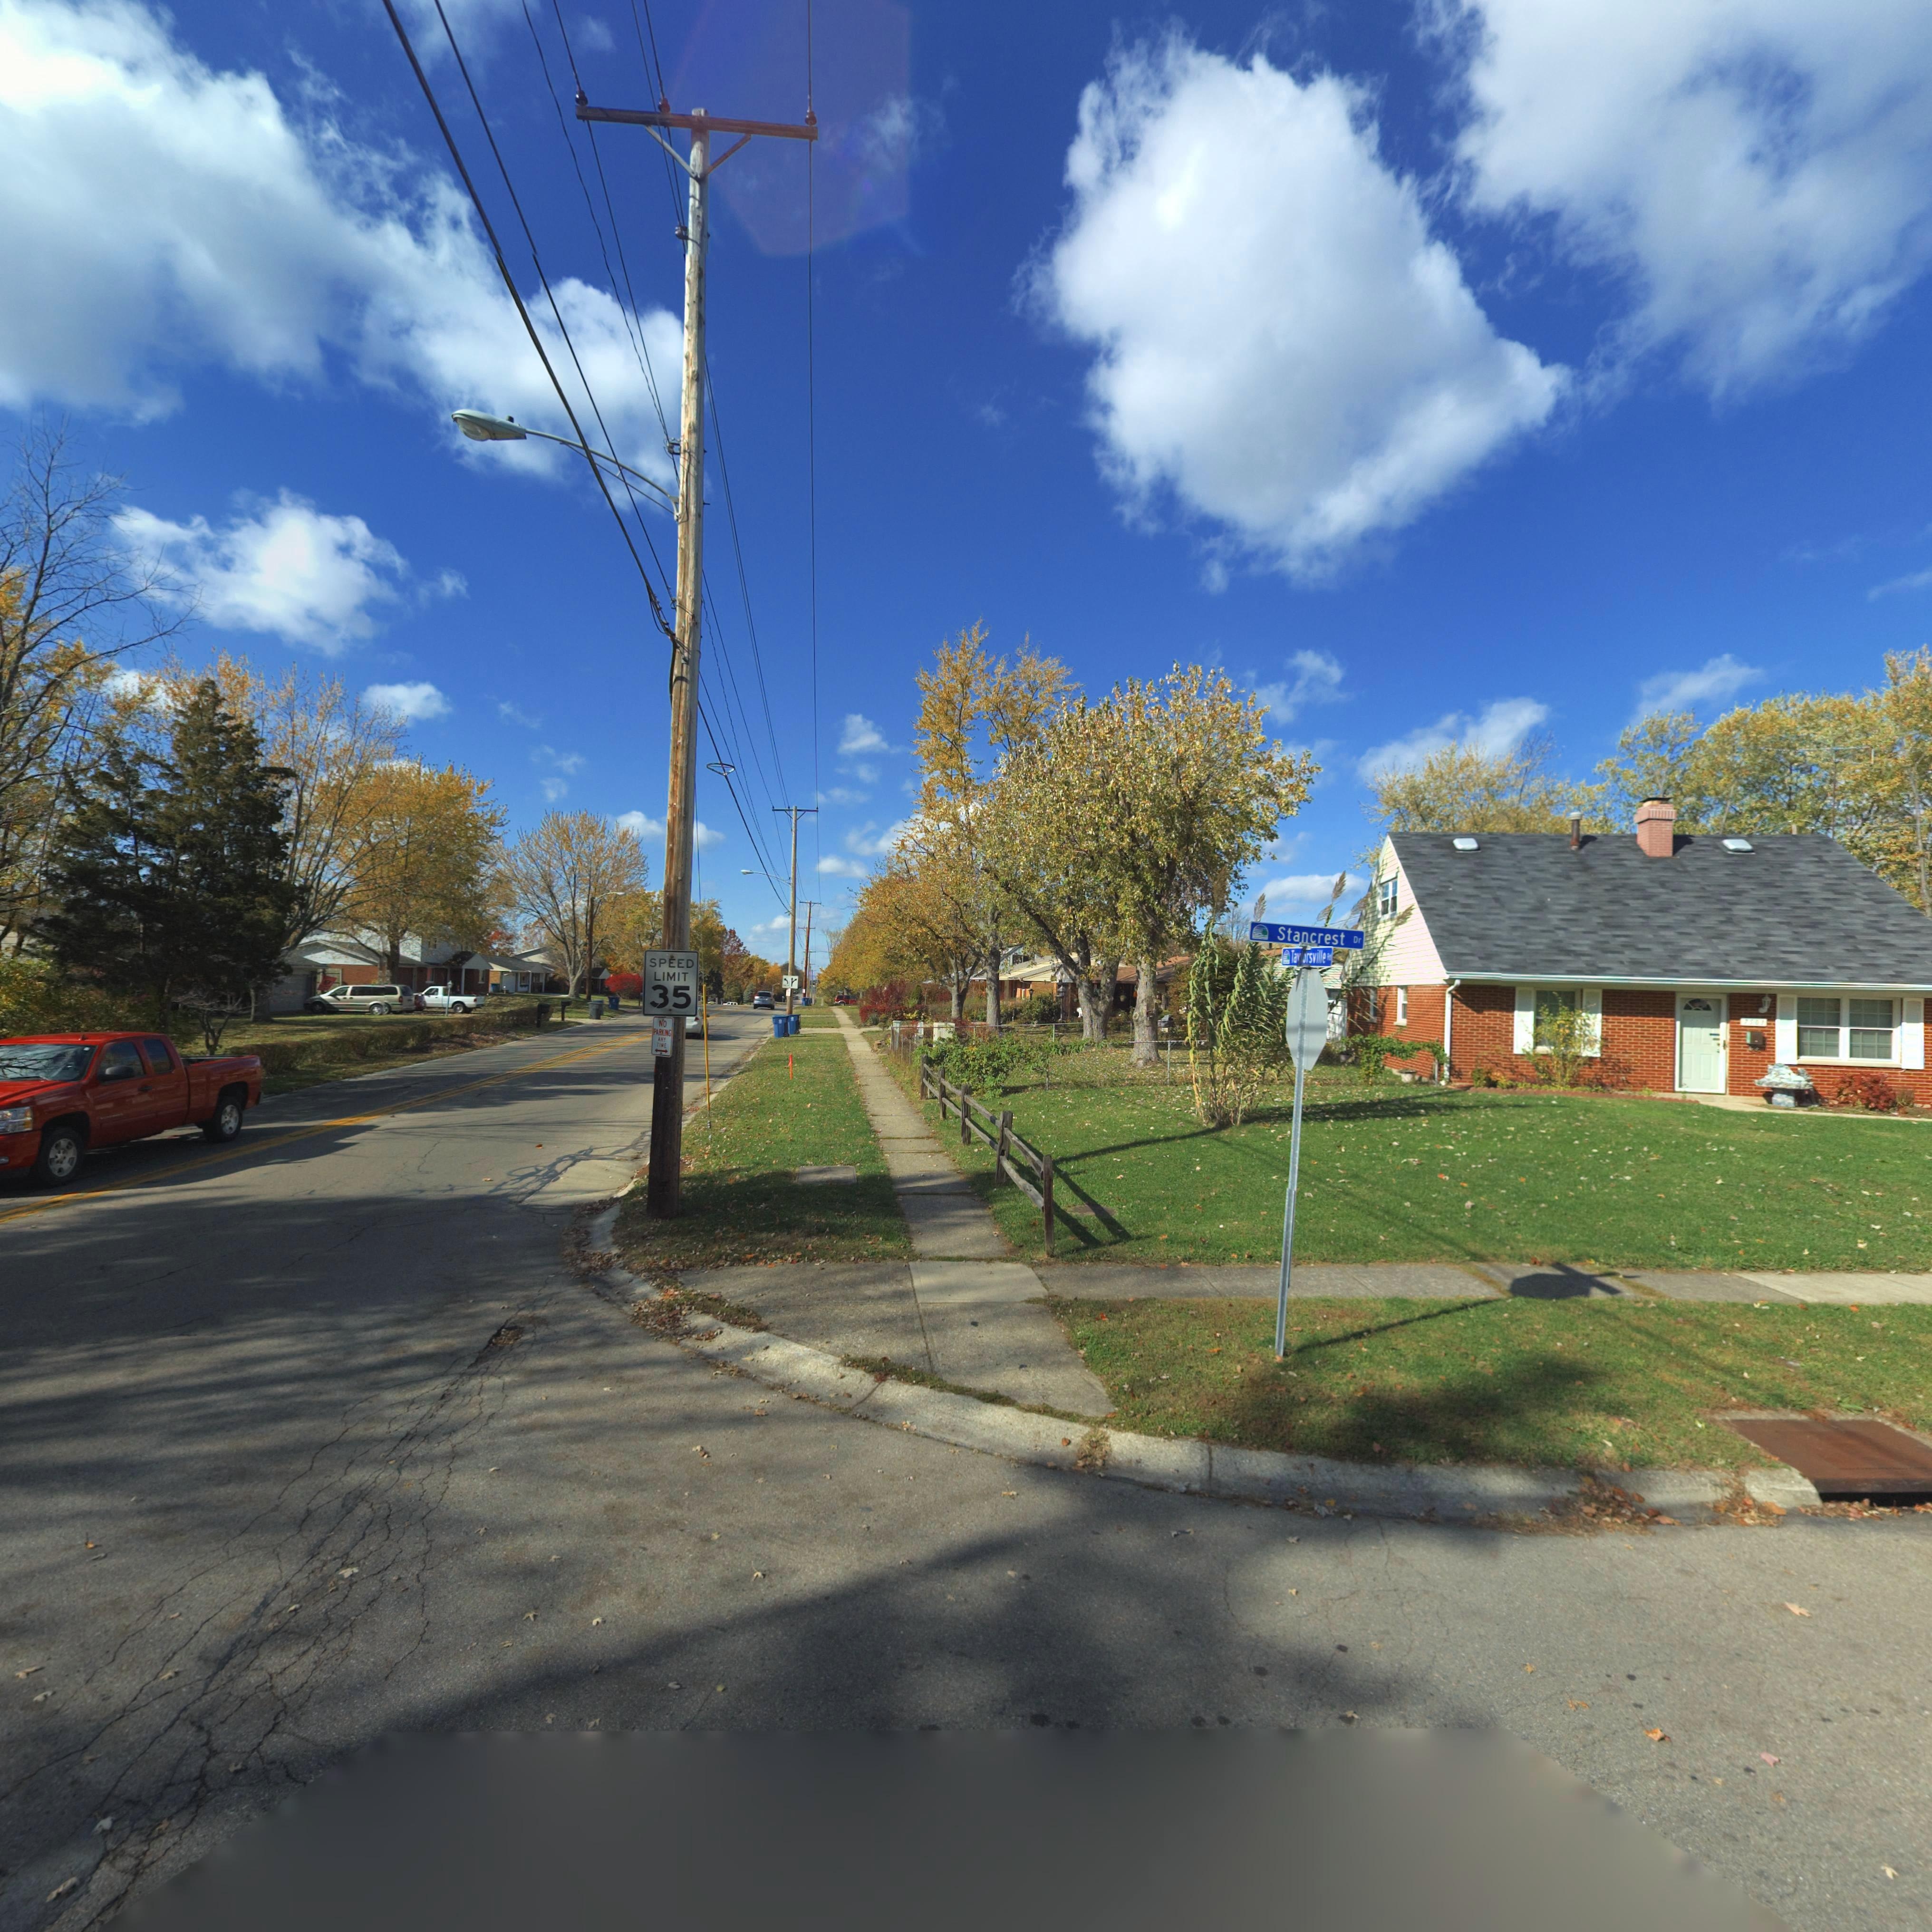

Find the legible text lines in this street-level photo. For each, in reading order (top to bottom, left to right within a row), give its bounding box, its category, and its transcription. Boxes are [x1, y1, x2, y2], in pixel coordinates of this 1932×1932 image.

[1276, 926, 1362, 947] StreetName: Stancrest Dr
[1290, 949, 1327, 967] StreetName: Taylorsville
[1743, 1018, 1765, 1026] StreetNumber: 7507